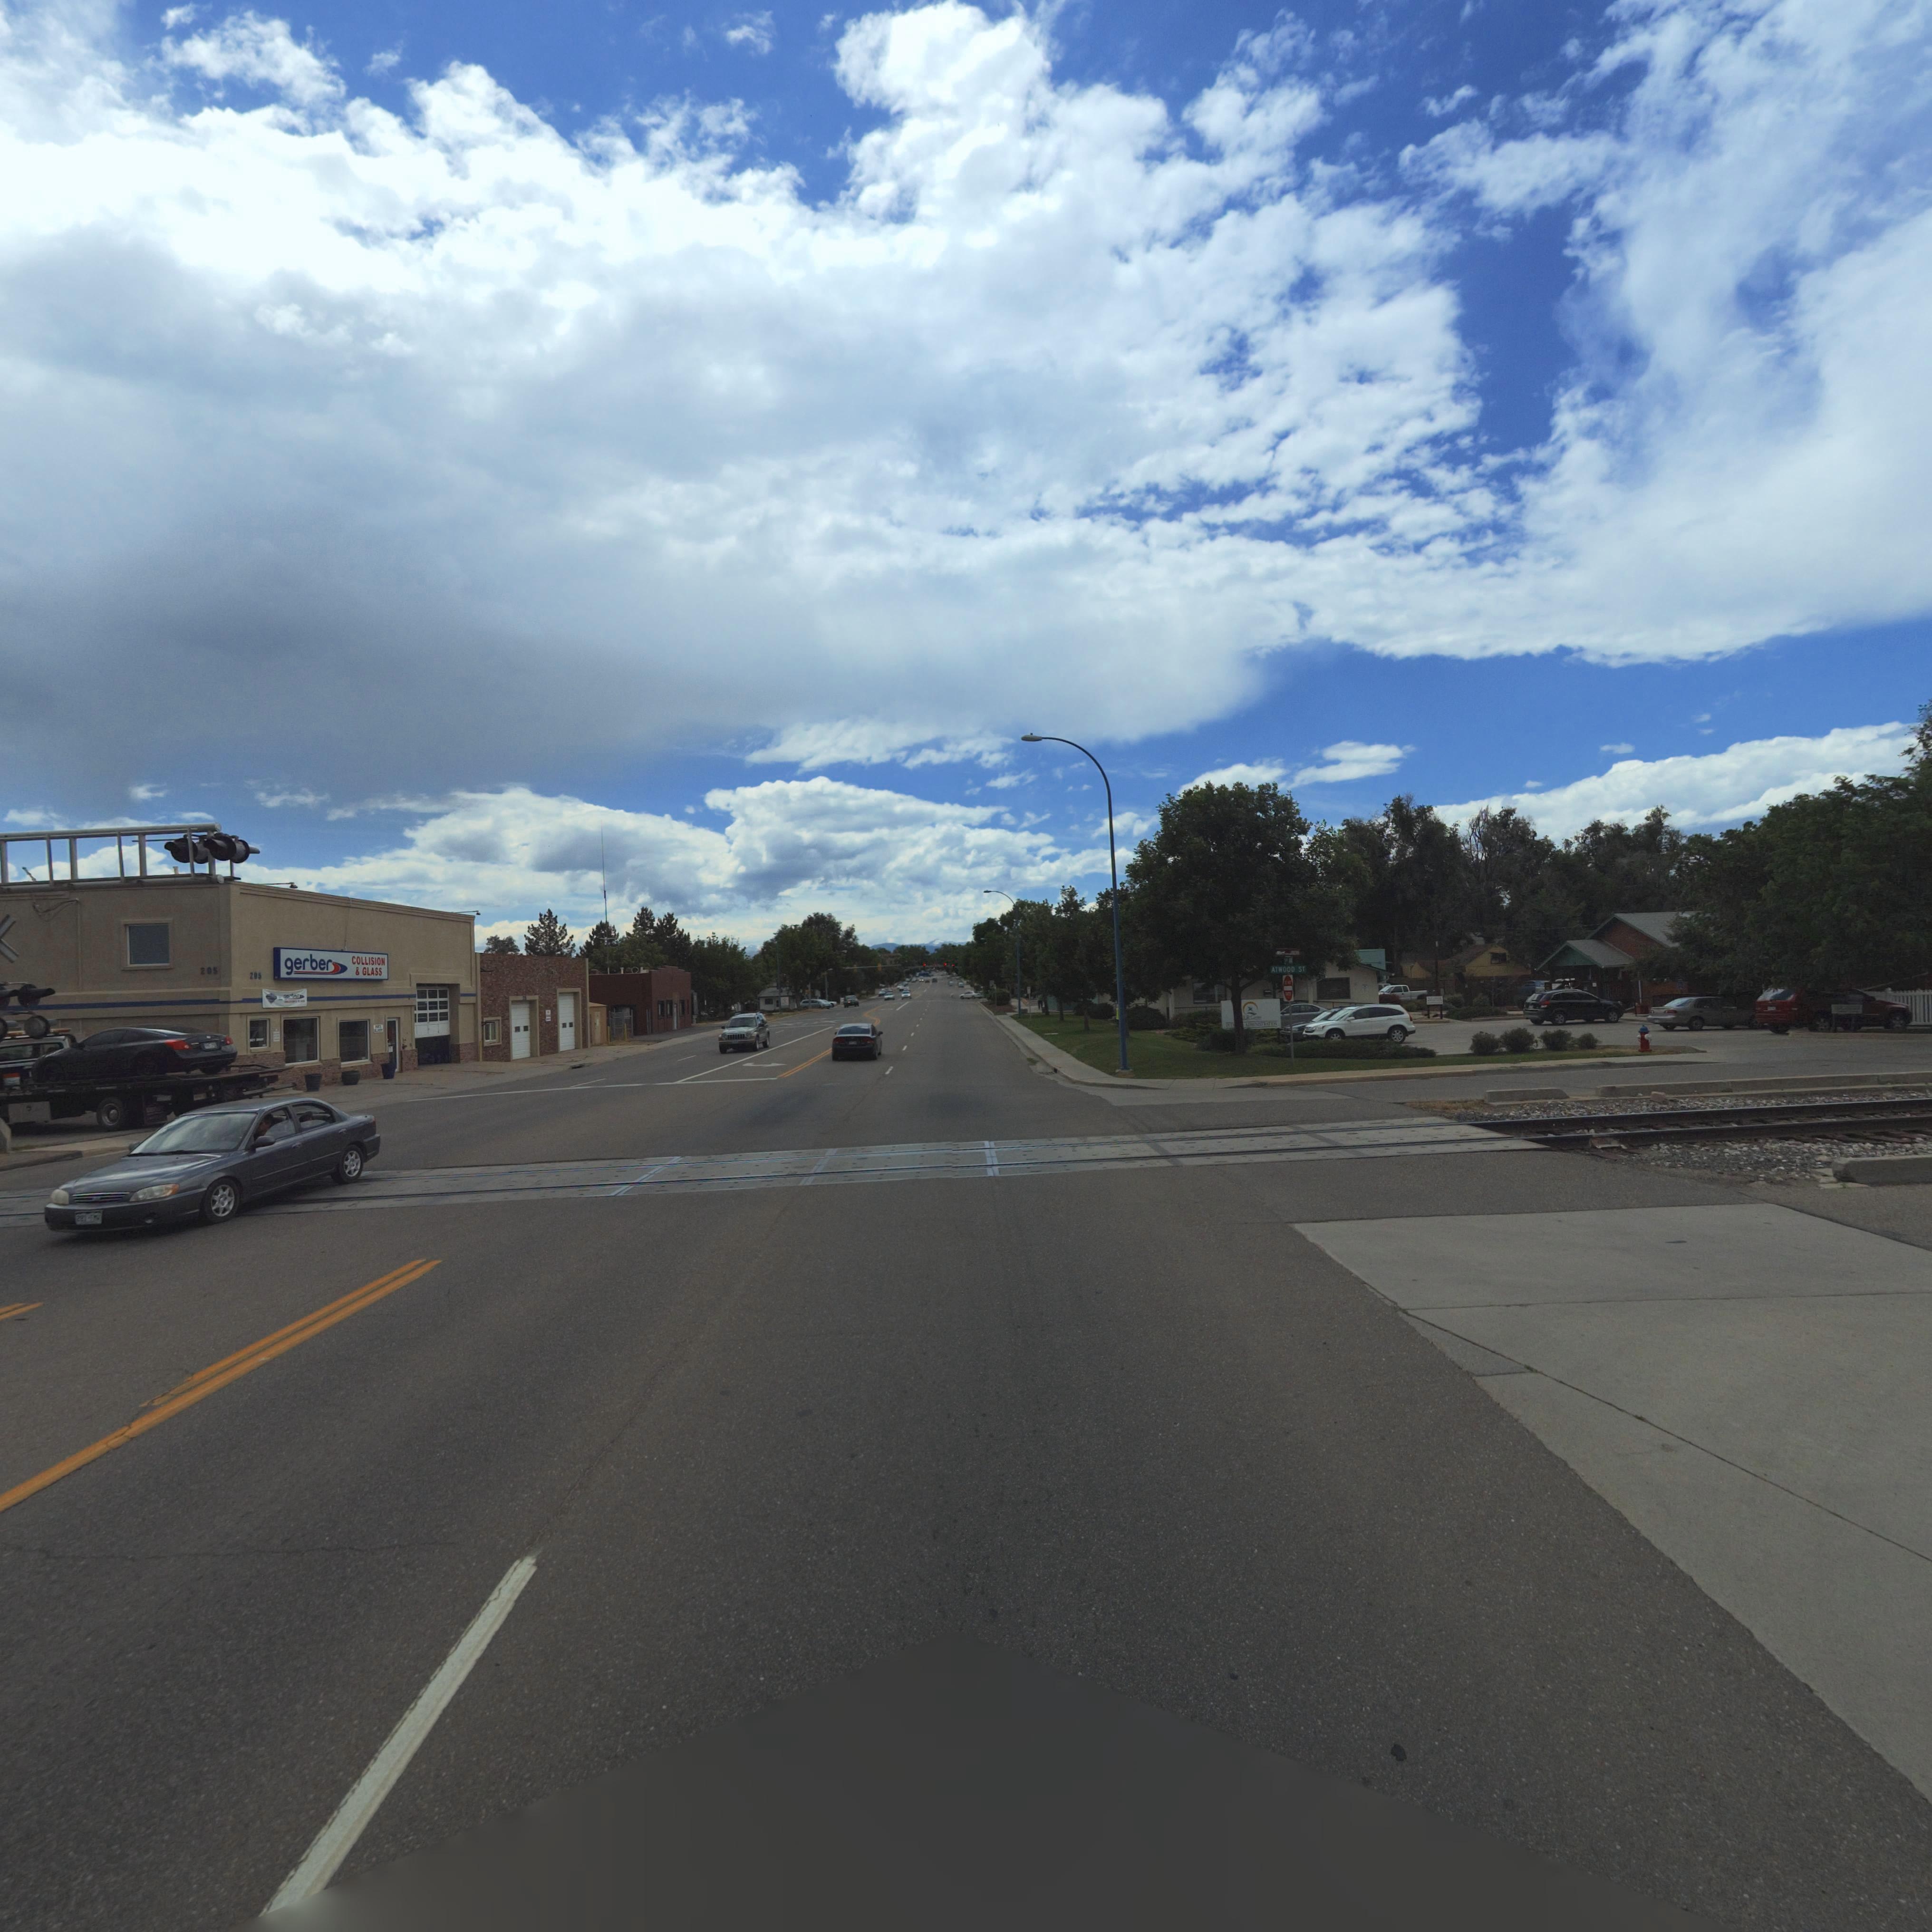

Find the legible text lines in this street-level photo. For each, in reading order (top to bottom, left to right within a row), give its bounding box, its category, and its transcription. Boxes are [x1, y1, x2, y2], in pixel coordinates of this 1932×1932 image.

[284, 953, 333, 976] BusinessName: gerber
[351, 955, 385, 966] BusinessName: COLLISION
[199, 966, 218, 975] StreetNumber: 205
[249, 971, 262, 980] StreetNumber: 295
[355, 966, 383, 976] BusinessName: * GLASS
[1270, 966, 1305, 973] StreetName: ATWOOD ST
[1242, 1014, 1263, 1020] BusinessName: OUT Center